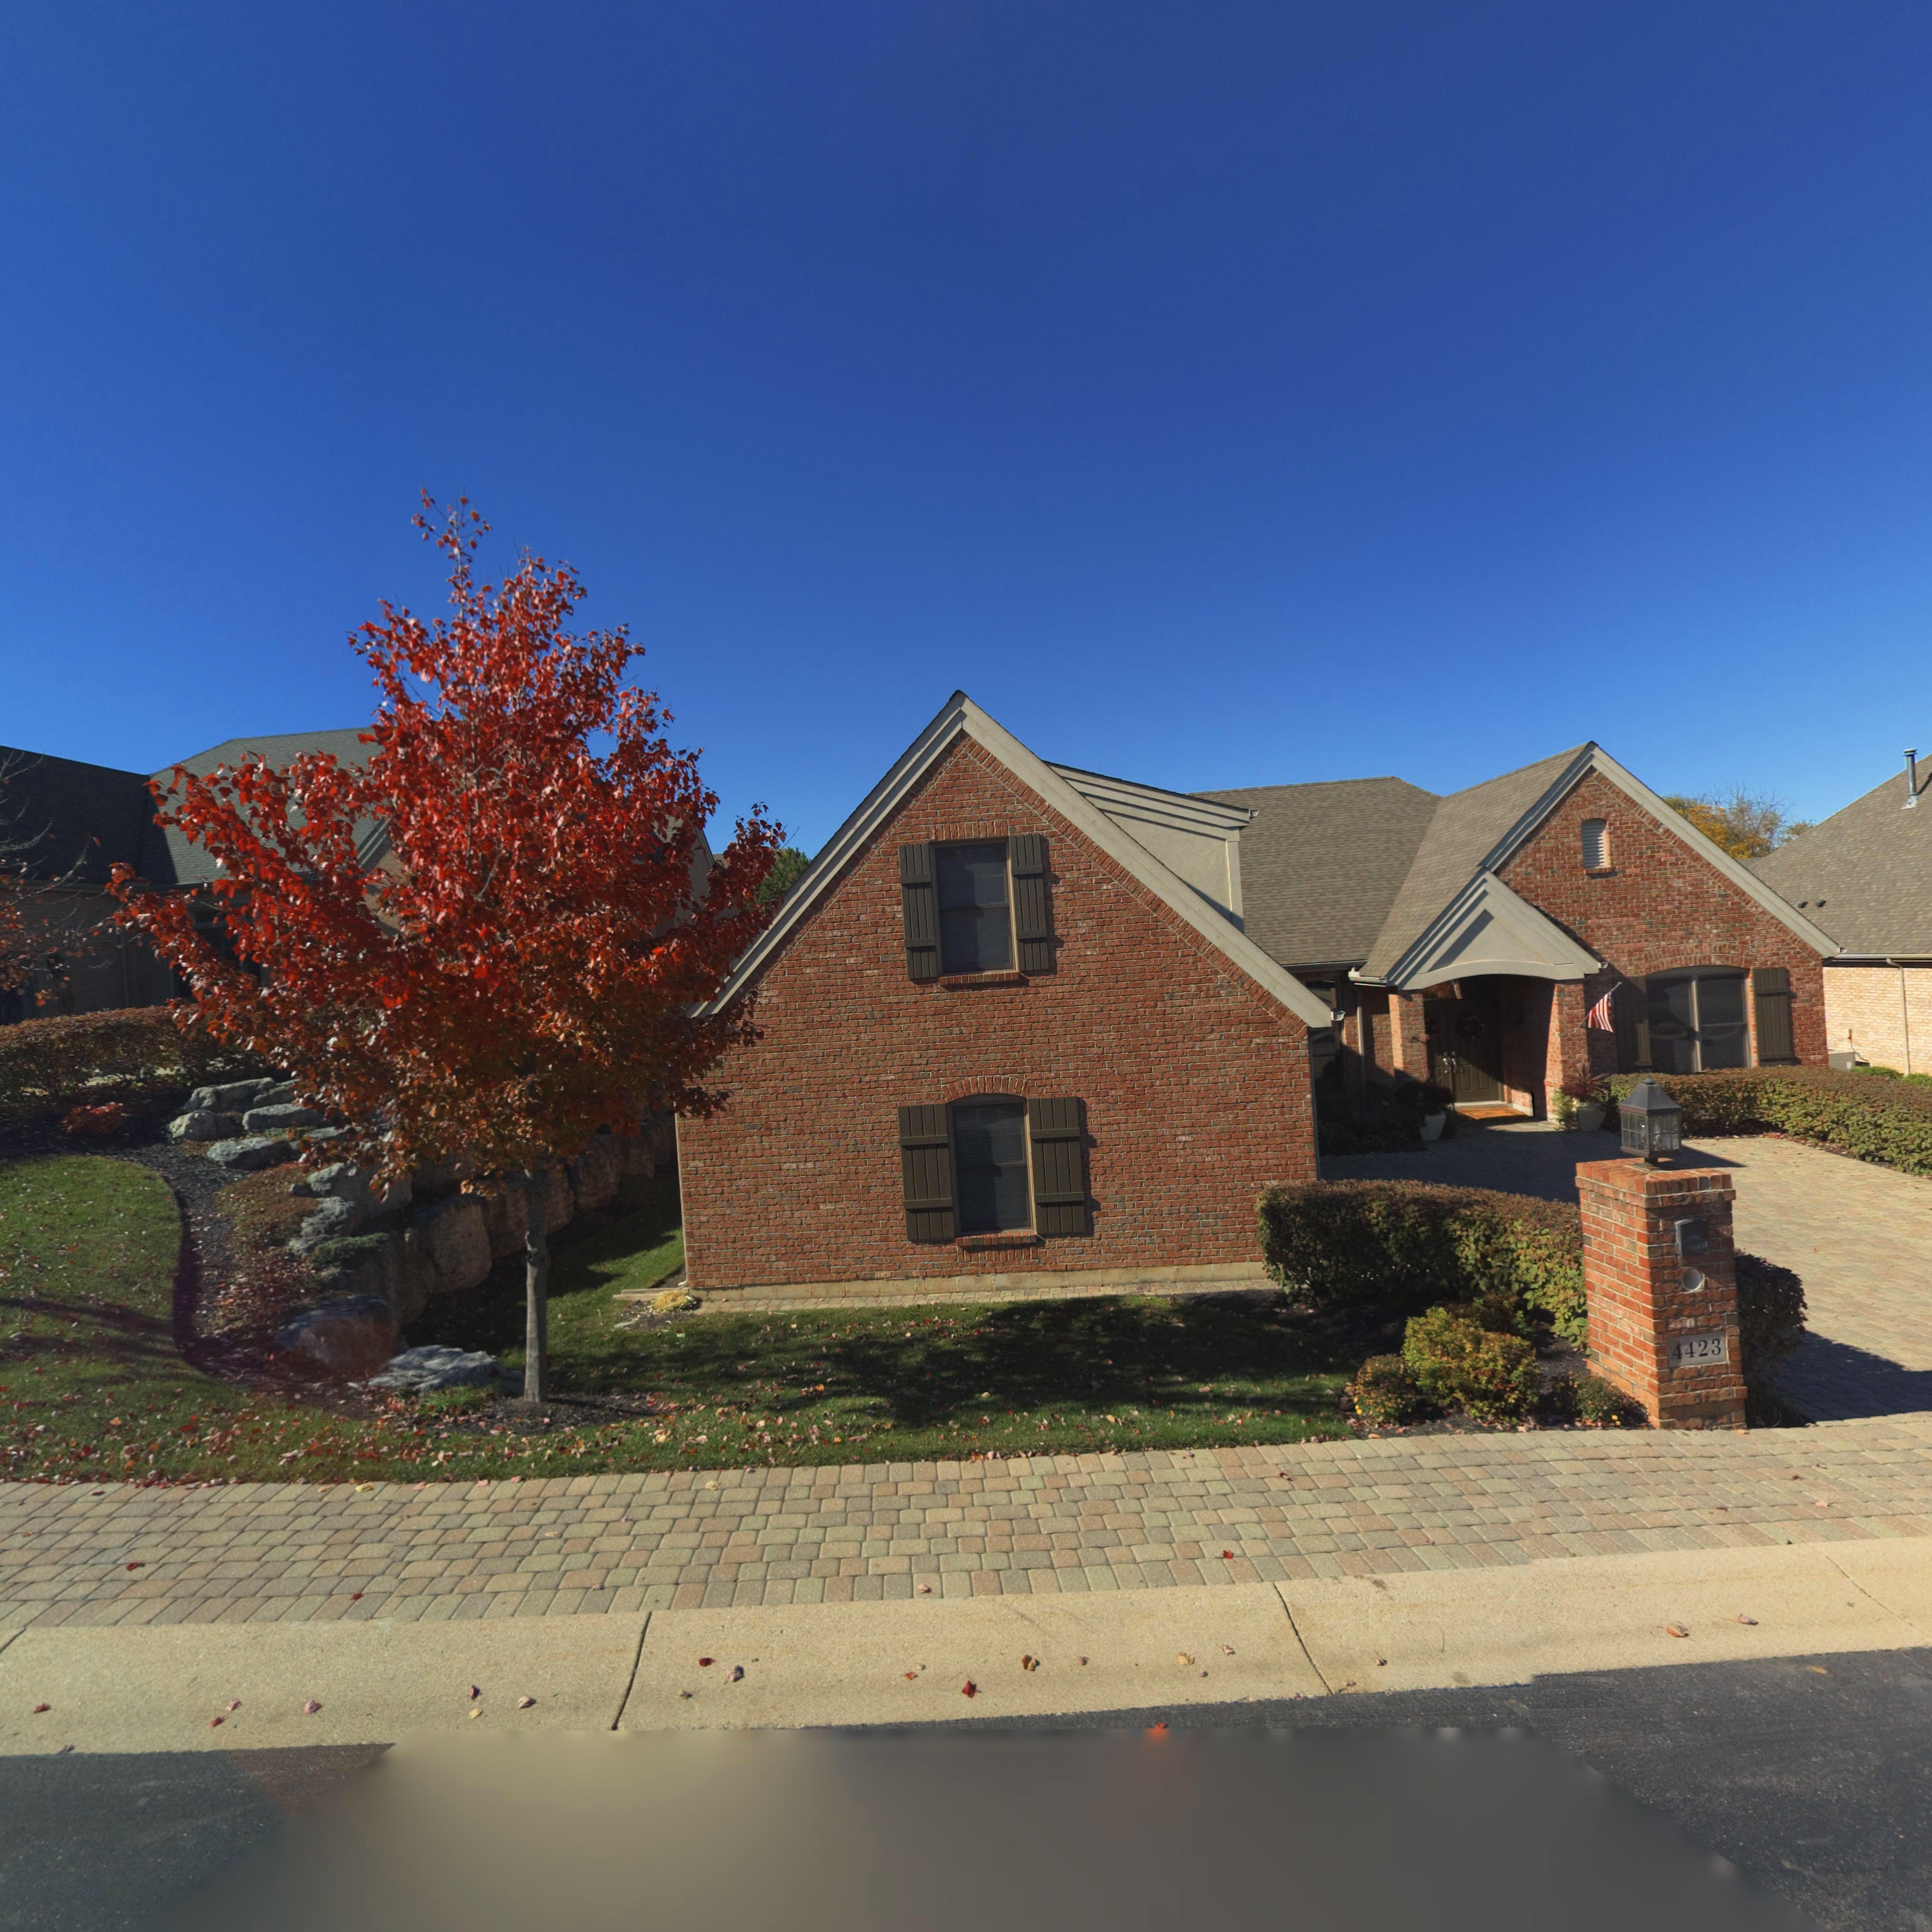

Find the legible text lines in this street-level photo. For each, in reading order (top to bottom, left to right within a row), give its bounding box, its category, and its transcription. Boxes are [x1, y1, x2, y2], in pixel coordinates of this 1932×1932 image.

[1669, 1336, 1723, 1362] StreetNumber: 4423